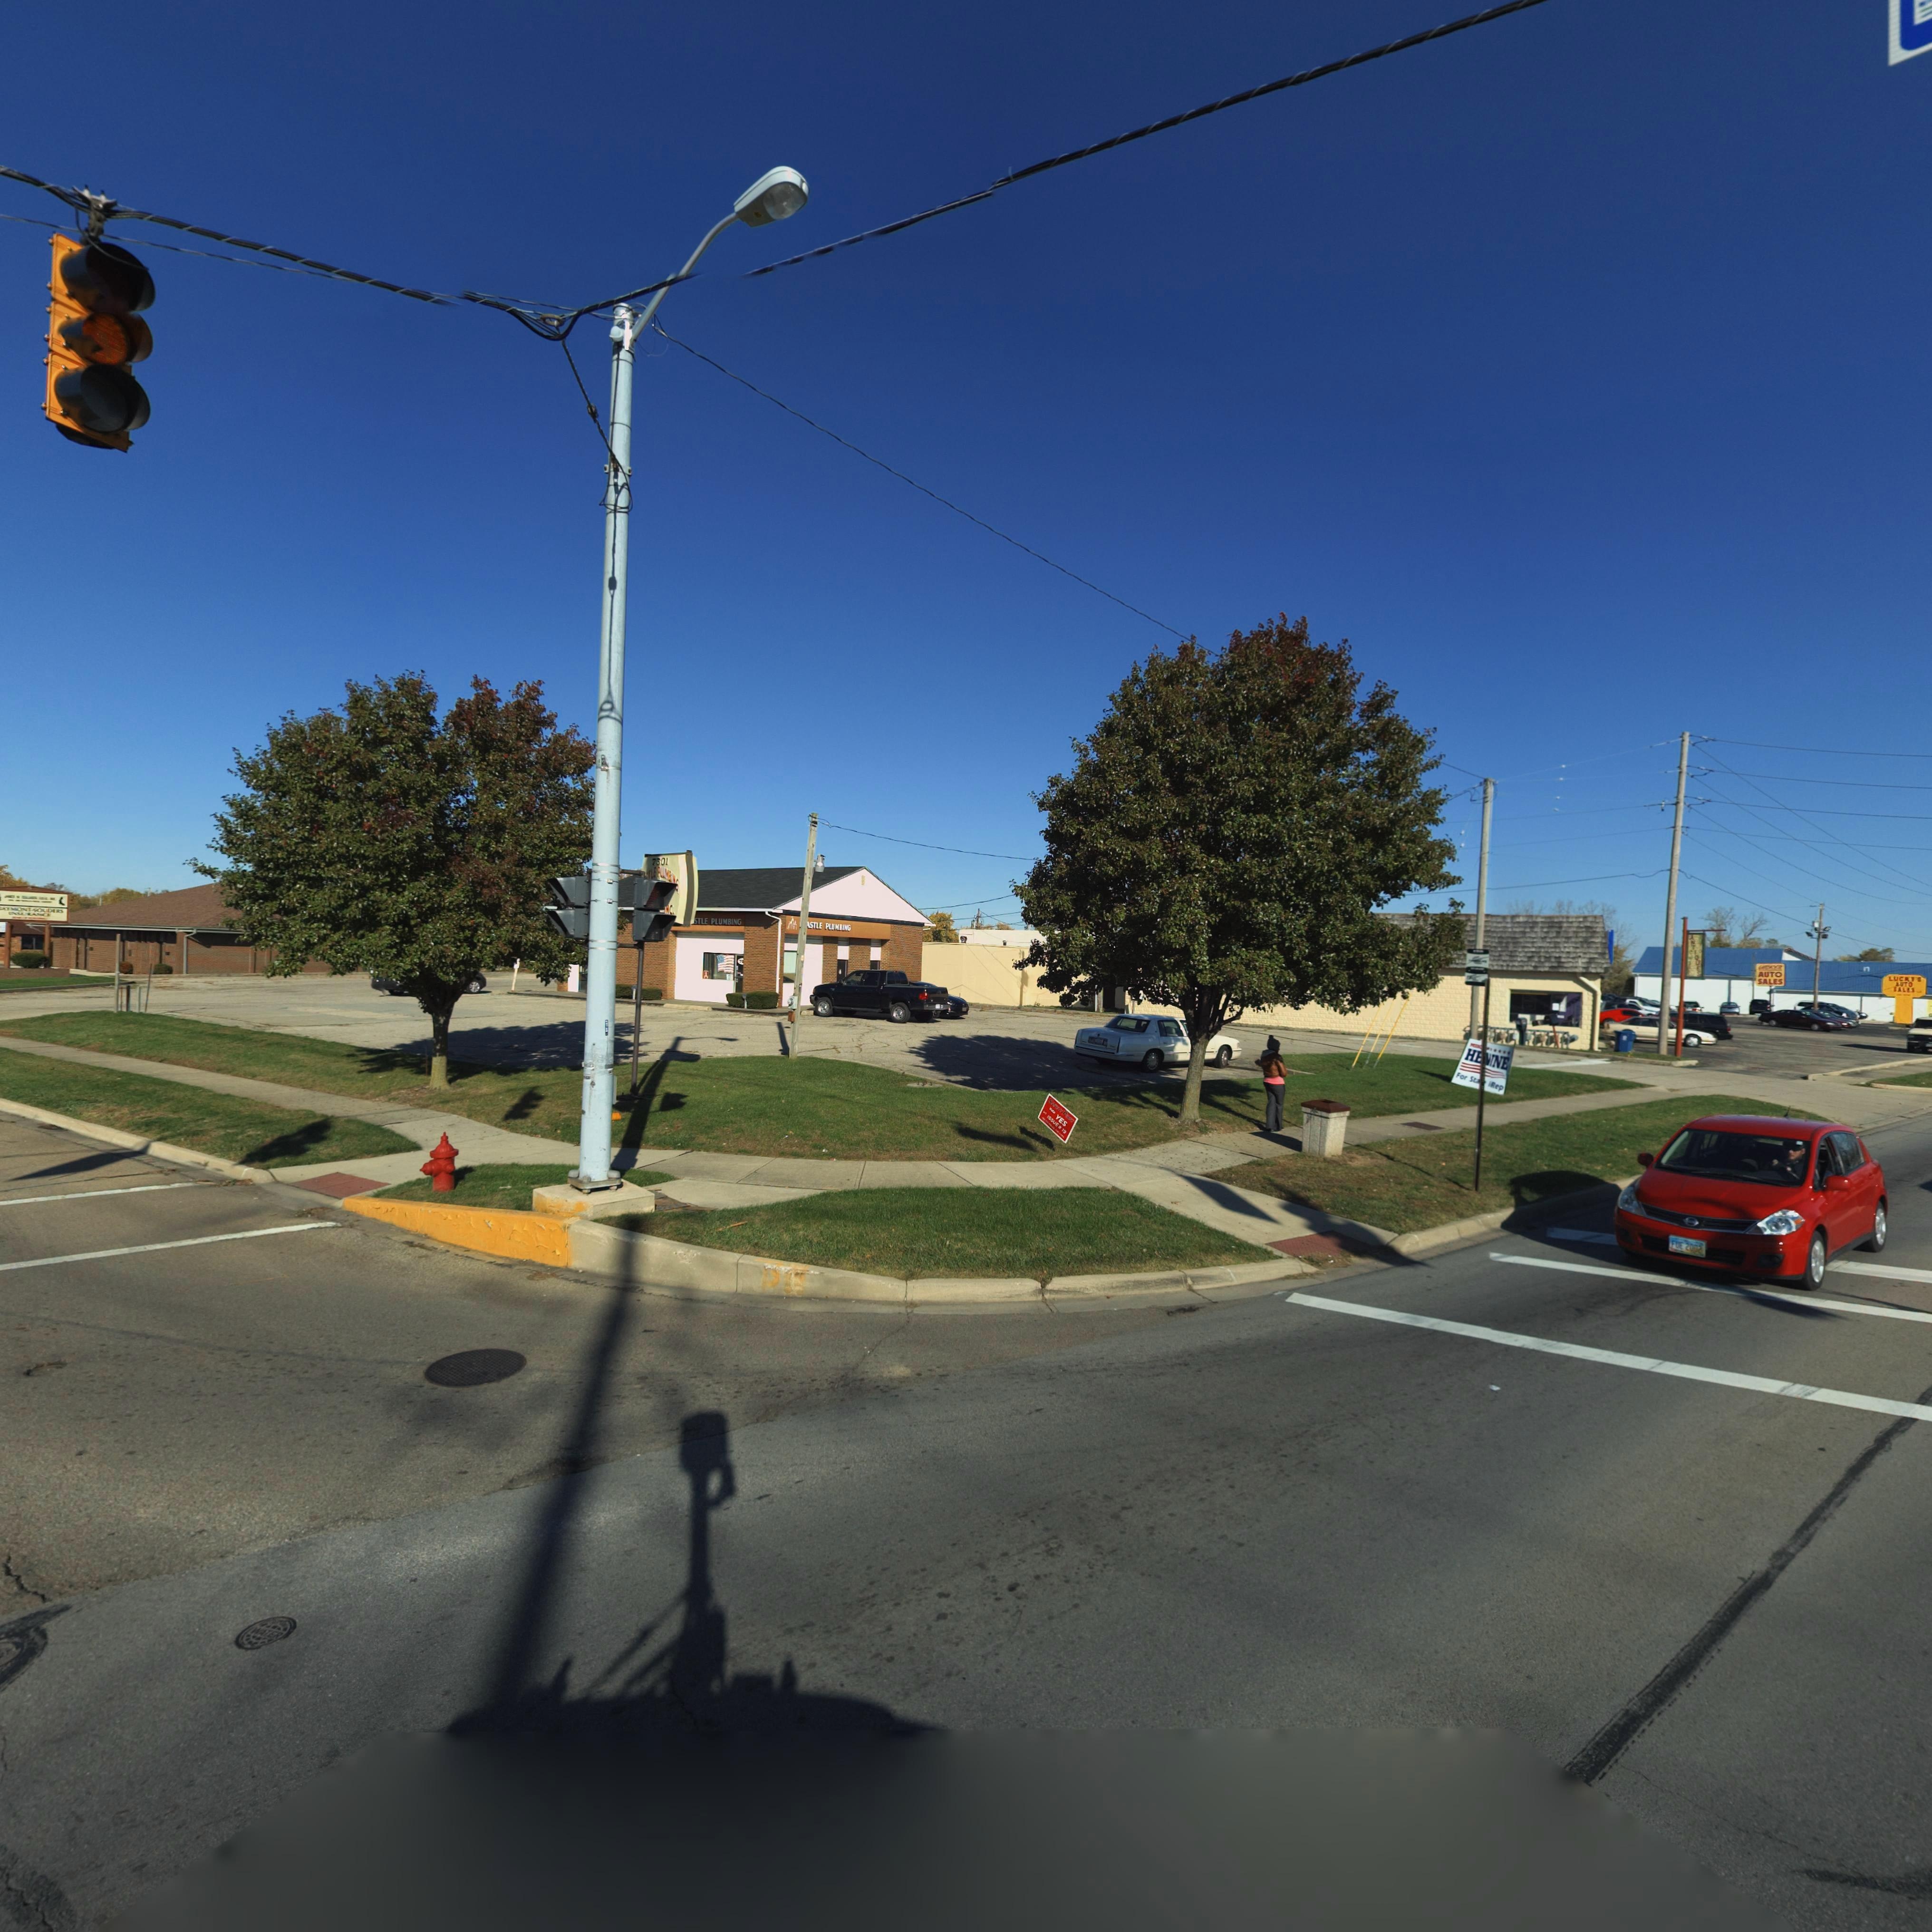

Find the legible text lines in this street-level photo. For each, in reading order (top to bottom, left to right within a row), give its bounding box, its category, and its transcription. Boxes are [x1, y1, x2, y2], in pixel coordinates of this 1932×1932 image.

[651, 856, 669, 867] StreetNumber: 7501
[694, 917, 743, 926] BusinessName: STLE PLUMBING
[809, 921, 851, 932] BusinessName: STLE PLUMBING
[1689, 934, 1702, 977] BusinessName: ANTIQUES
[1758, 971, 1783, 978] BusinessName: AUTO
[1757, 978, 1784, 985] BusinessName: SALES
[1894, 982, 1913, 988] BusinessName: AUTO
[1888, 976, 1922, 983] BusinessName: LUCKY'S
[1893, 987, 1915, 993] BusinessName: SALES
[1463, 1047, 1511, 1072] None: H***NE
[1454, 1072, 1505, 1092] None: For Sta** *Rep